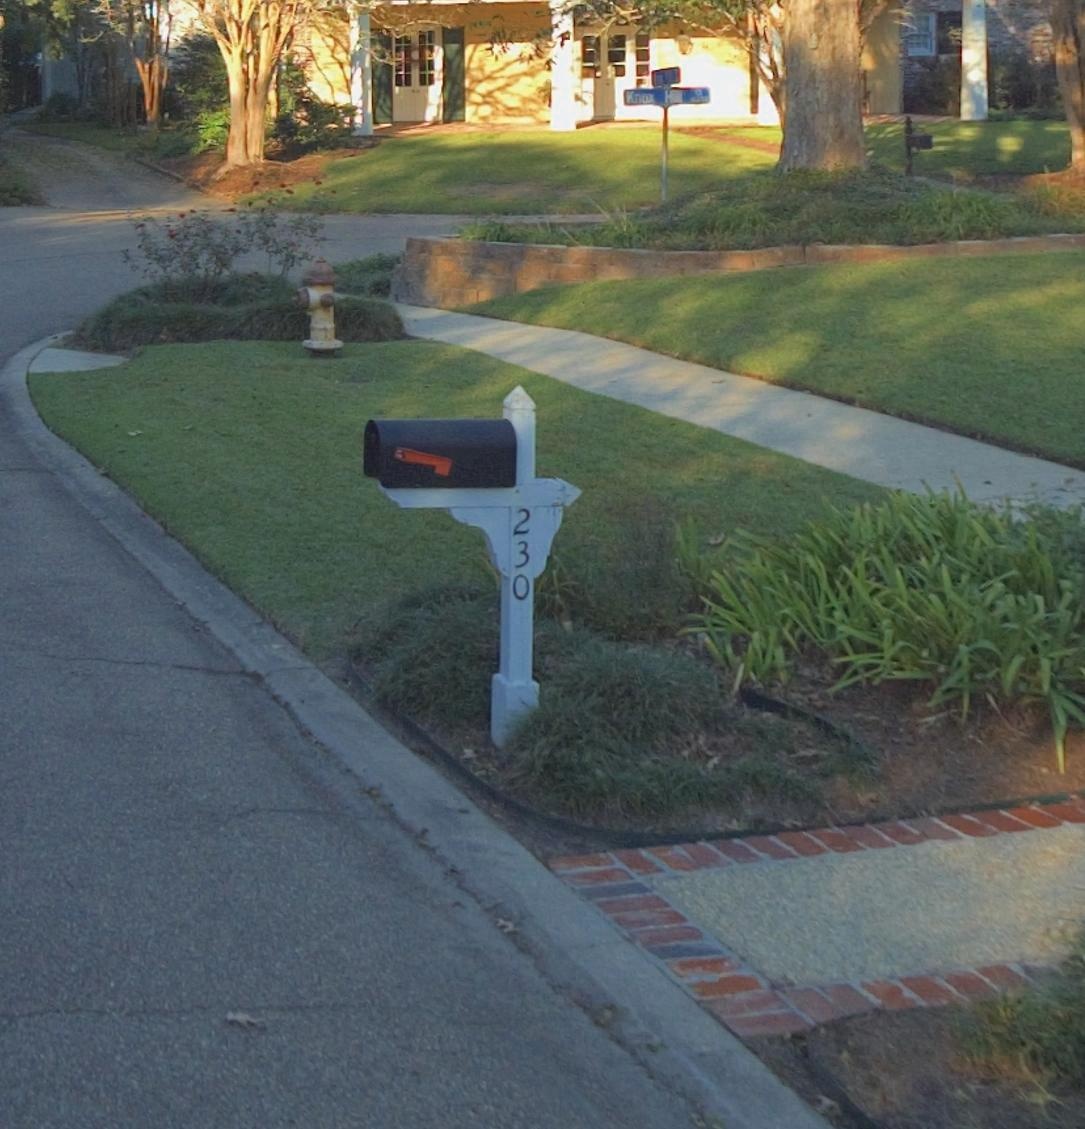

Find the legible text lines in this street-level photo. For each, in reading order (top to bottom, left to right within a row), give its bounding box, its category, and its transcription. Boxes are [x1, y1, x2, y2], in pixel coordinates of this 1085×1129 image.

[626, 90, 684, 104] StreetName: Knox Hill
[511, 507, 533, 602] StreetNumber: 230